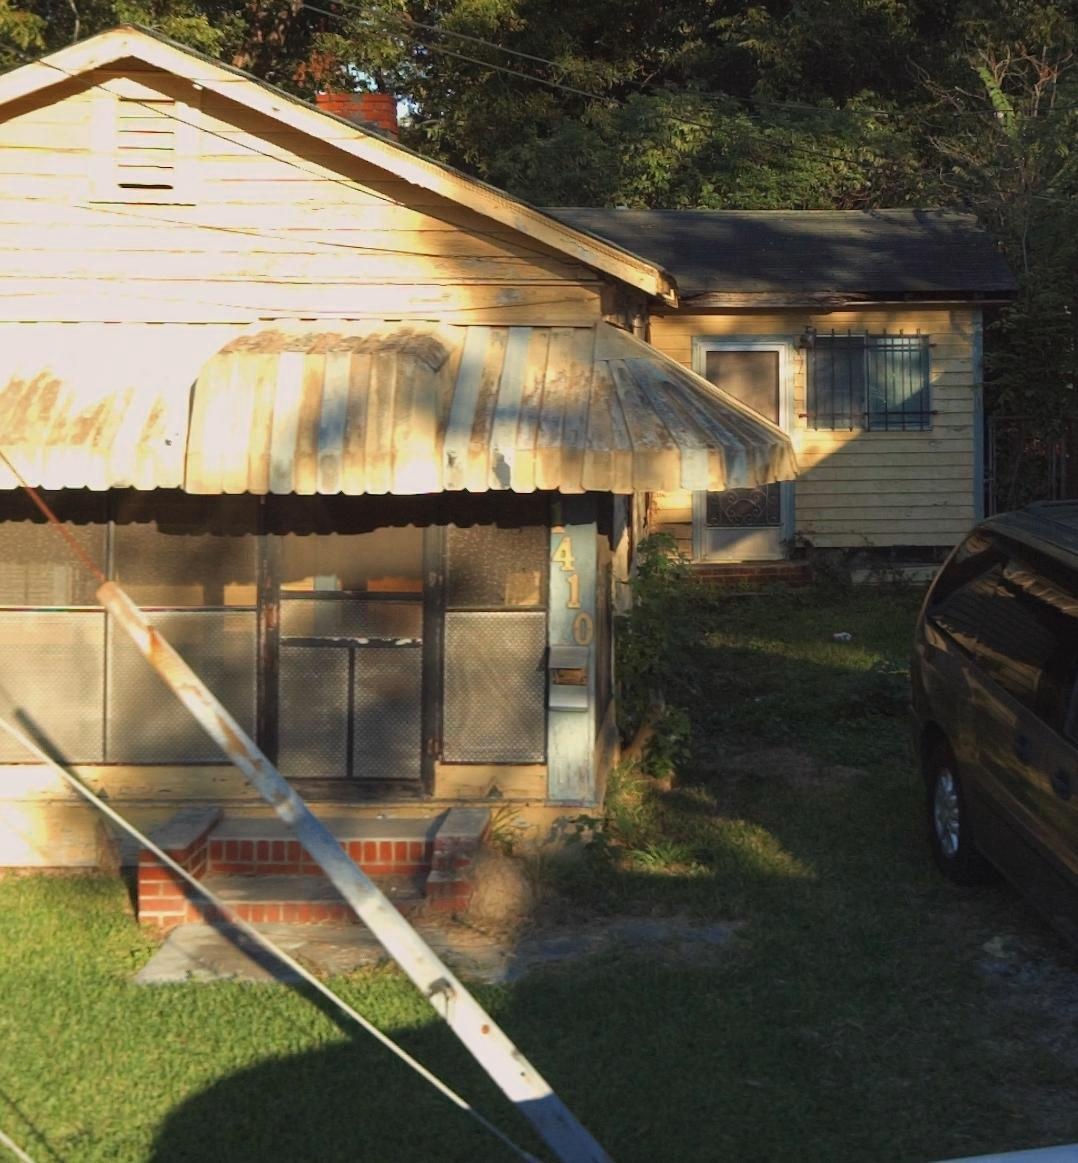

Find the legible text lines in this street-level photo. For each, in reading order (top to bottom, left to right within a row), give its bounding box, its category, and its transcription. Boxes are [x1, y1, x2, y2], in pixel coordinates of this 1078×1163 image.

[547, 495, 596, 649] StreetNumber: 1410